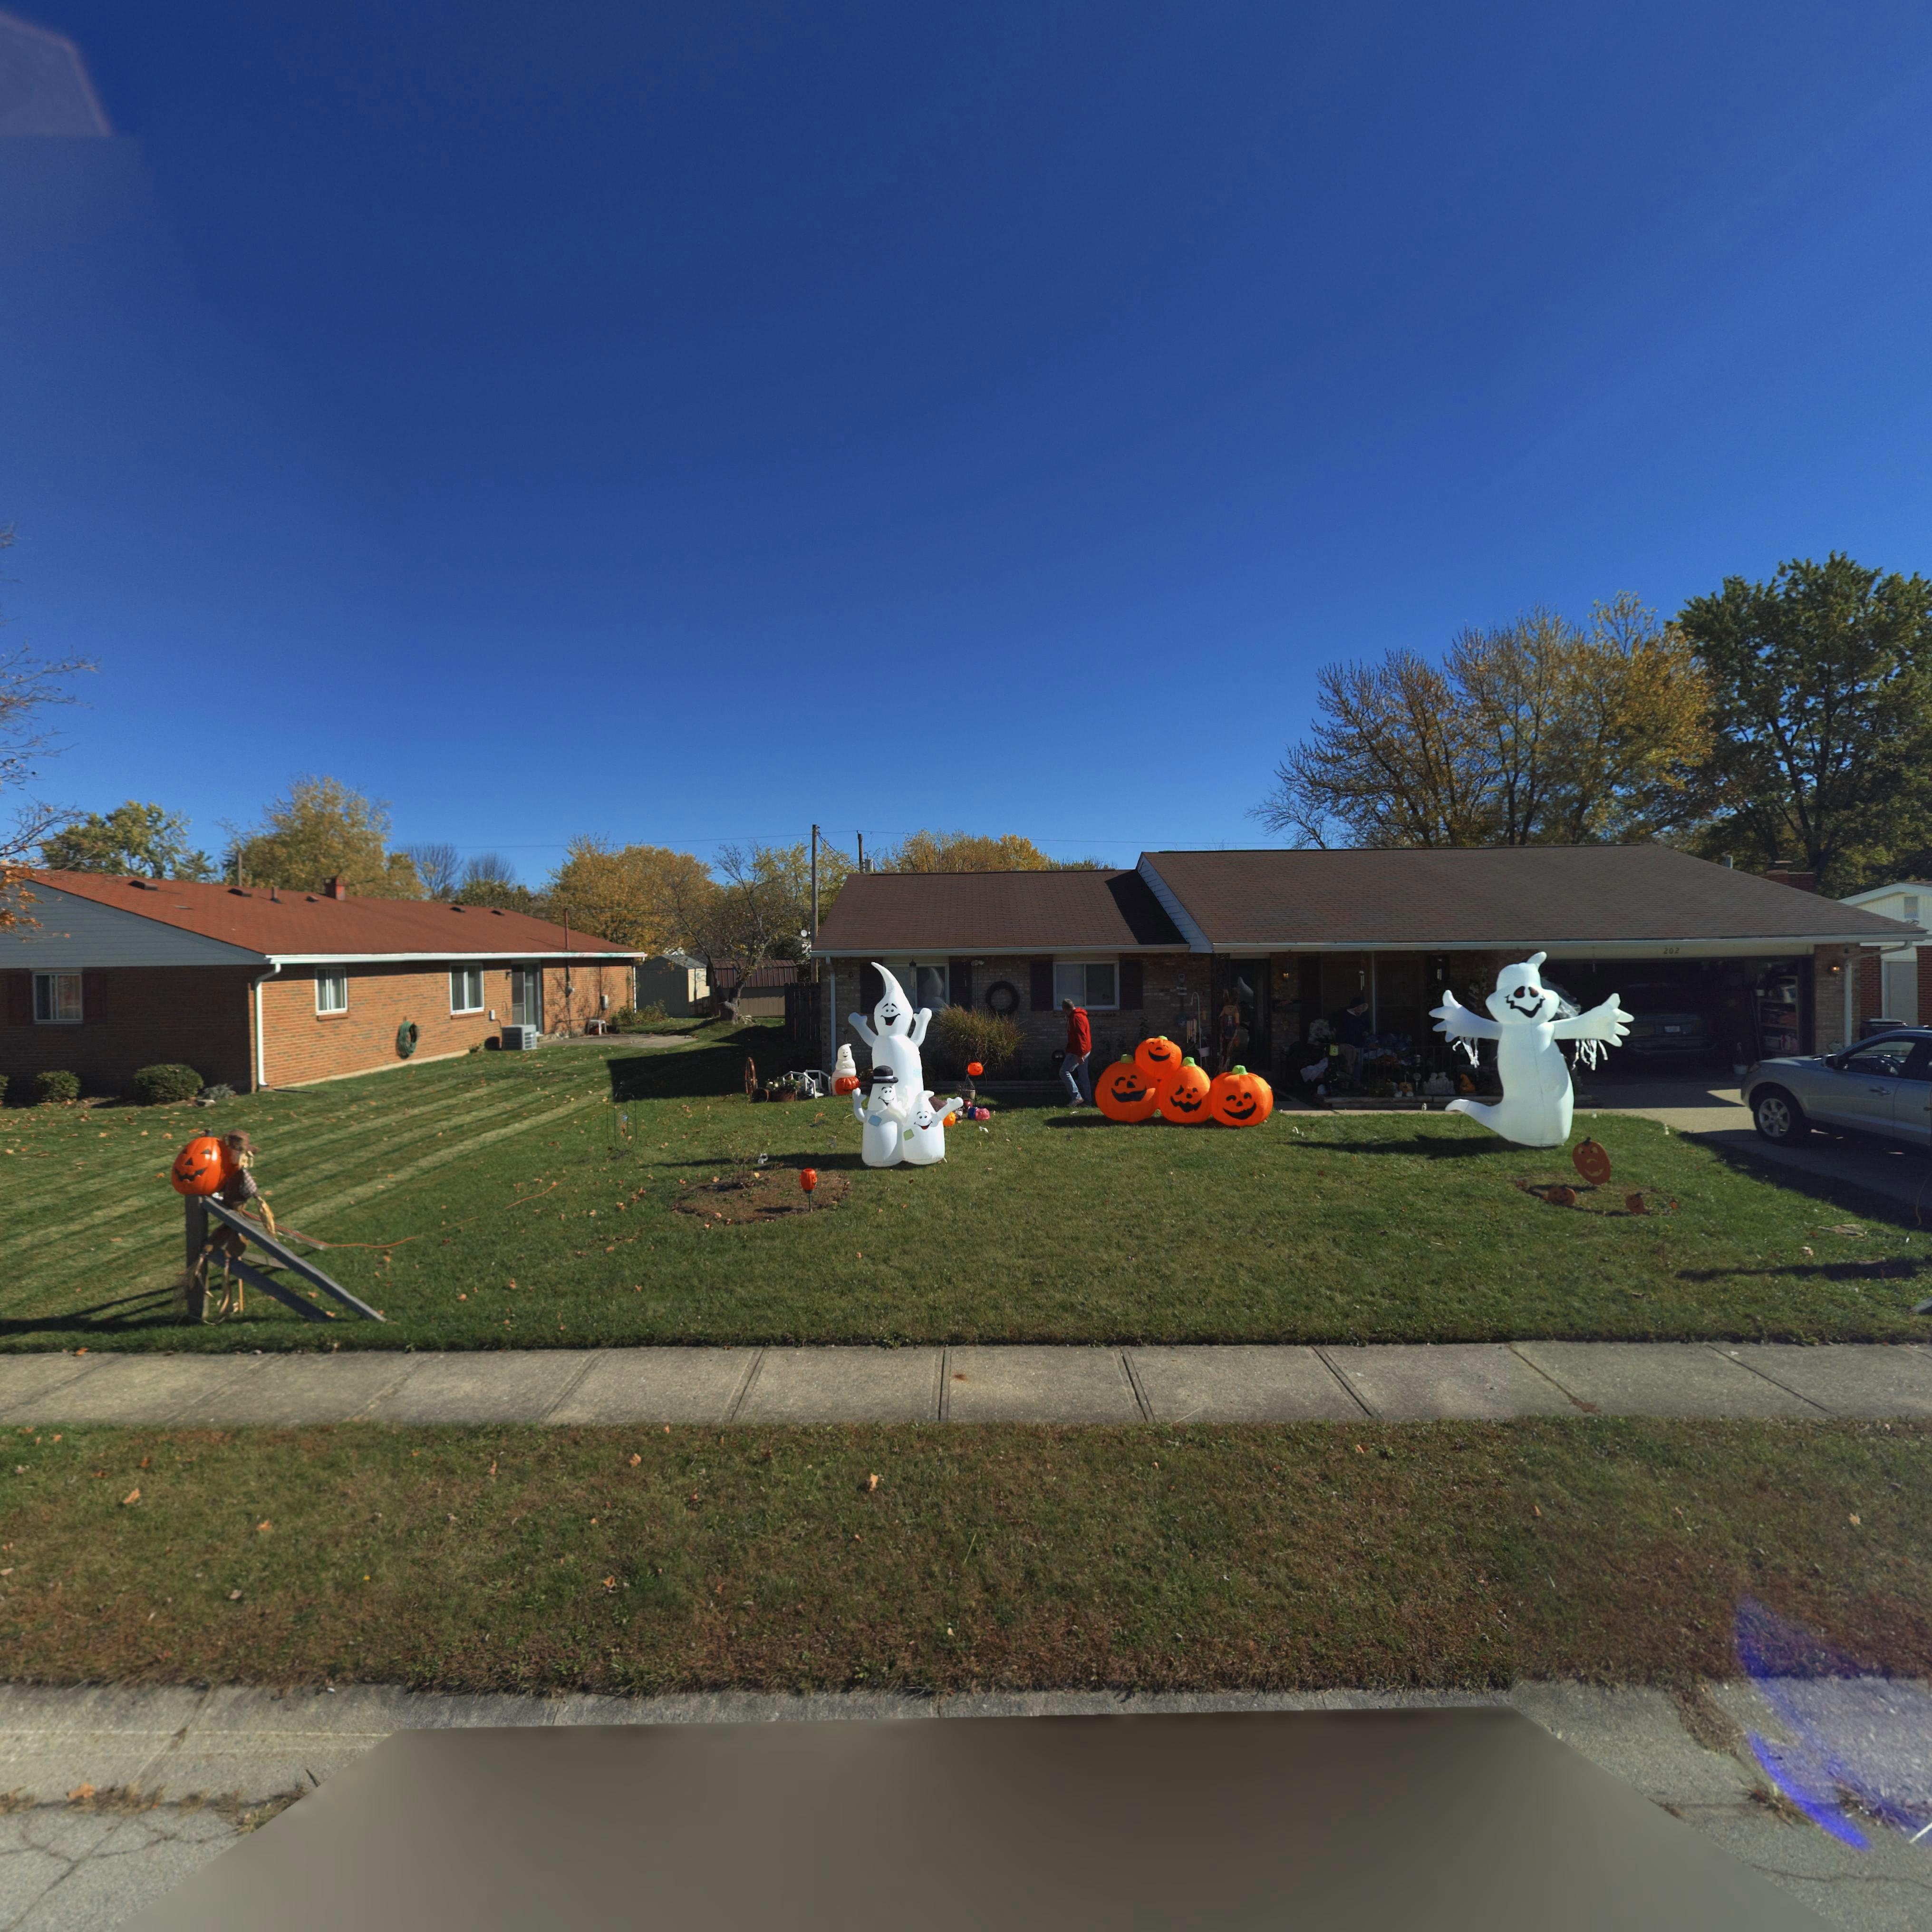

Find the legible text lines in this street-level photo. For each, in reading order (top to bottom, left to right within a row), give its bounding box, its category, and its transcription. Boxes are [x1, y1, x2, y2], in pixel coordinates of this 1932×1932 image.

[1663, 947, 1680, 954] StreetNumber: 202